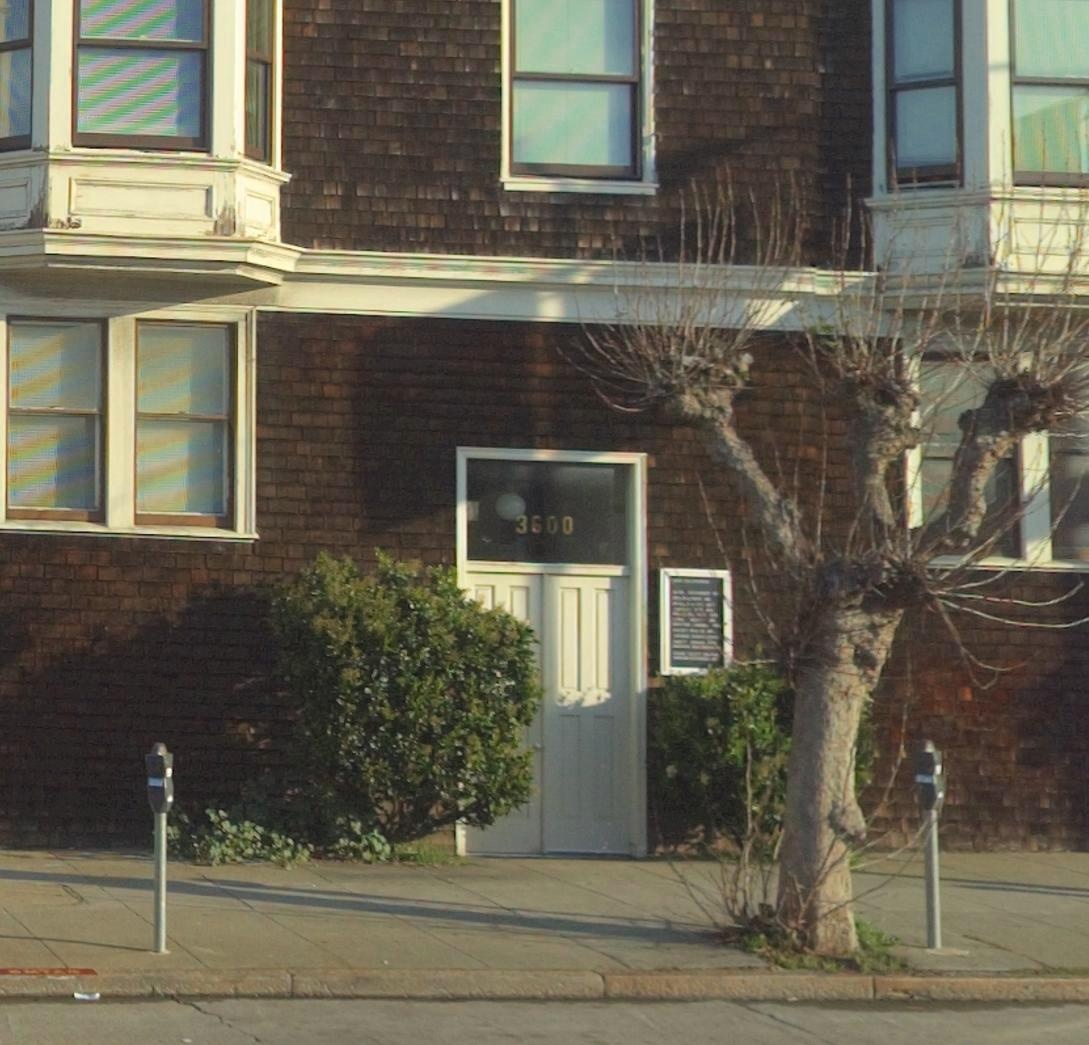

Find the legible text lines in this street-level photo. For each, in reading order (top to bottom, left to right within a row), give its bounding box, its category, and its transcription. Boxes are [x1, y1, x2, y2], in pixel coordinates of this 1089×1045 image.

[514, 513, 575, 536] StreetNumber: 3600